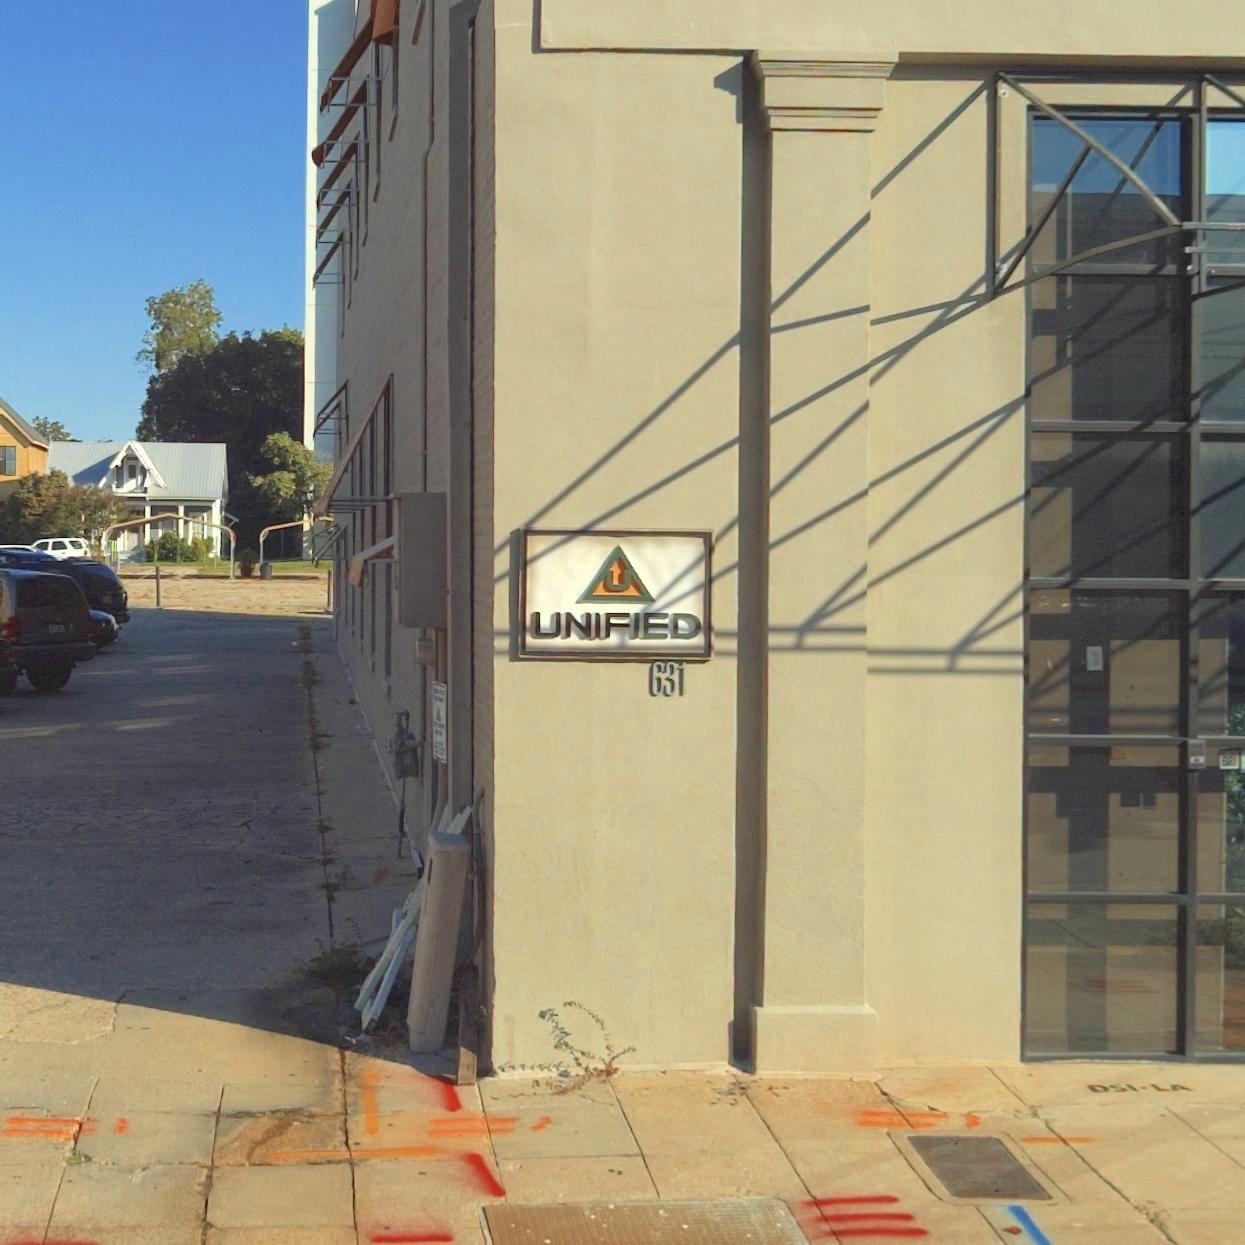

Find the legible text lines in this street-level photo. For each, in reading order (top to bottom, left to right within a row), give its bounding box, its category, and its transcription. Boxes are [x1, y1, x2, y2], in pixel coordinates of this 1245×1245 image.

[529, 608, 706, 643] BusinessName: UNIFIED
[647, 656, 687, 699] StreetNumber: 631